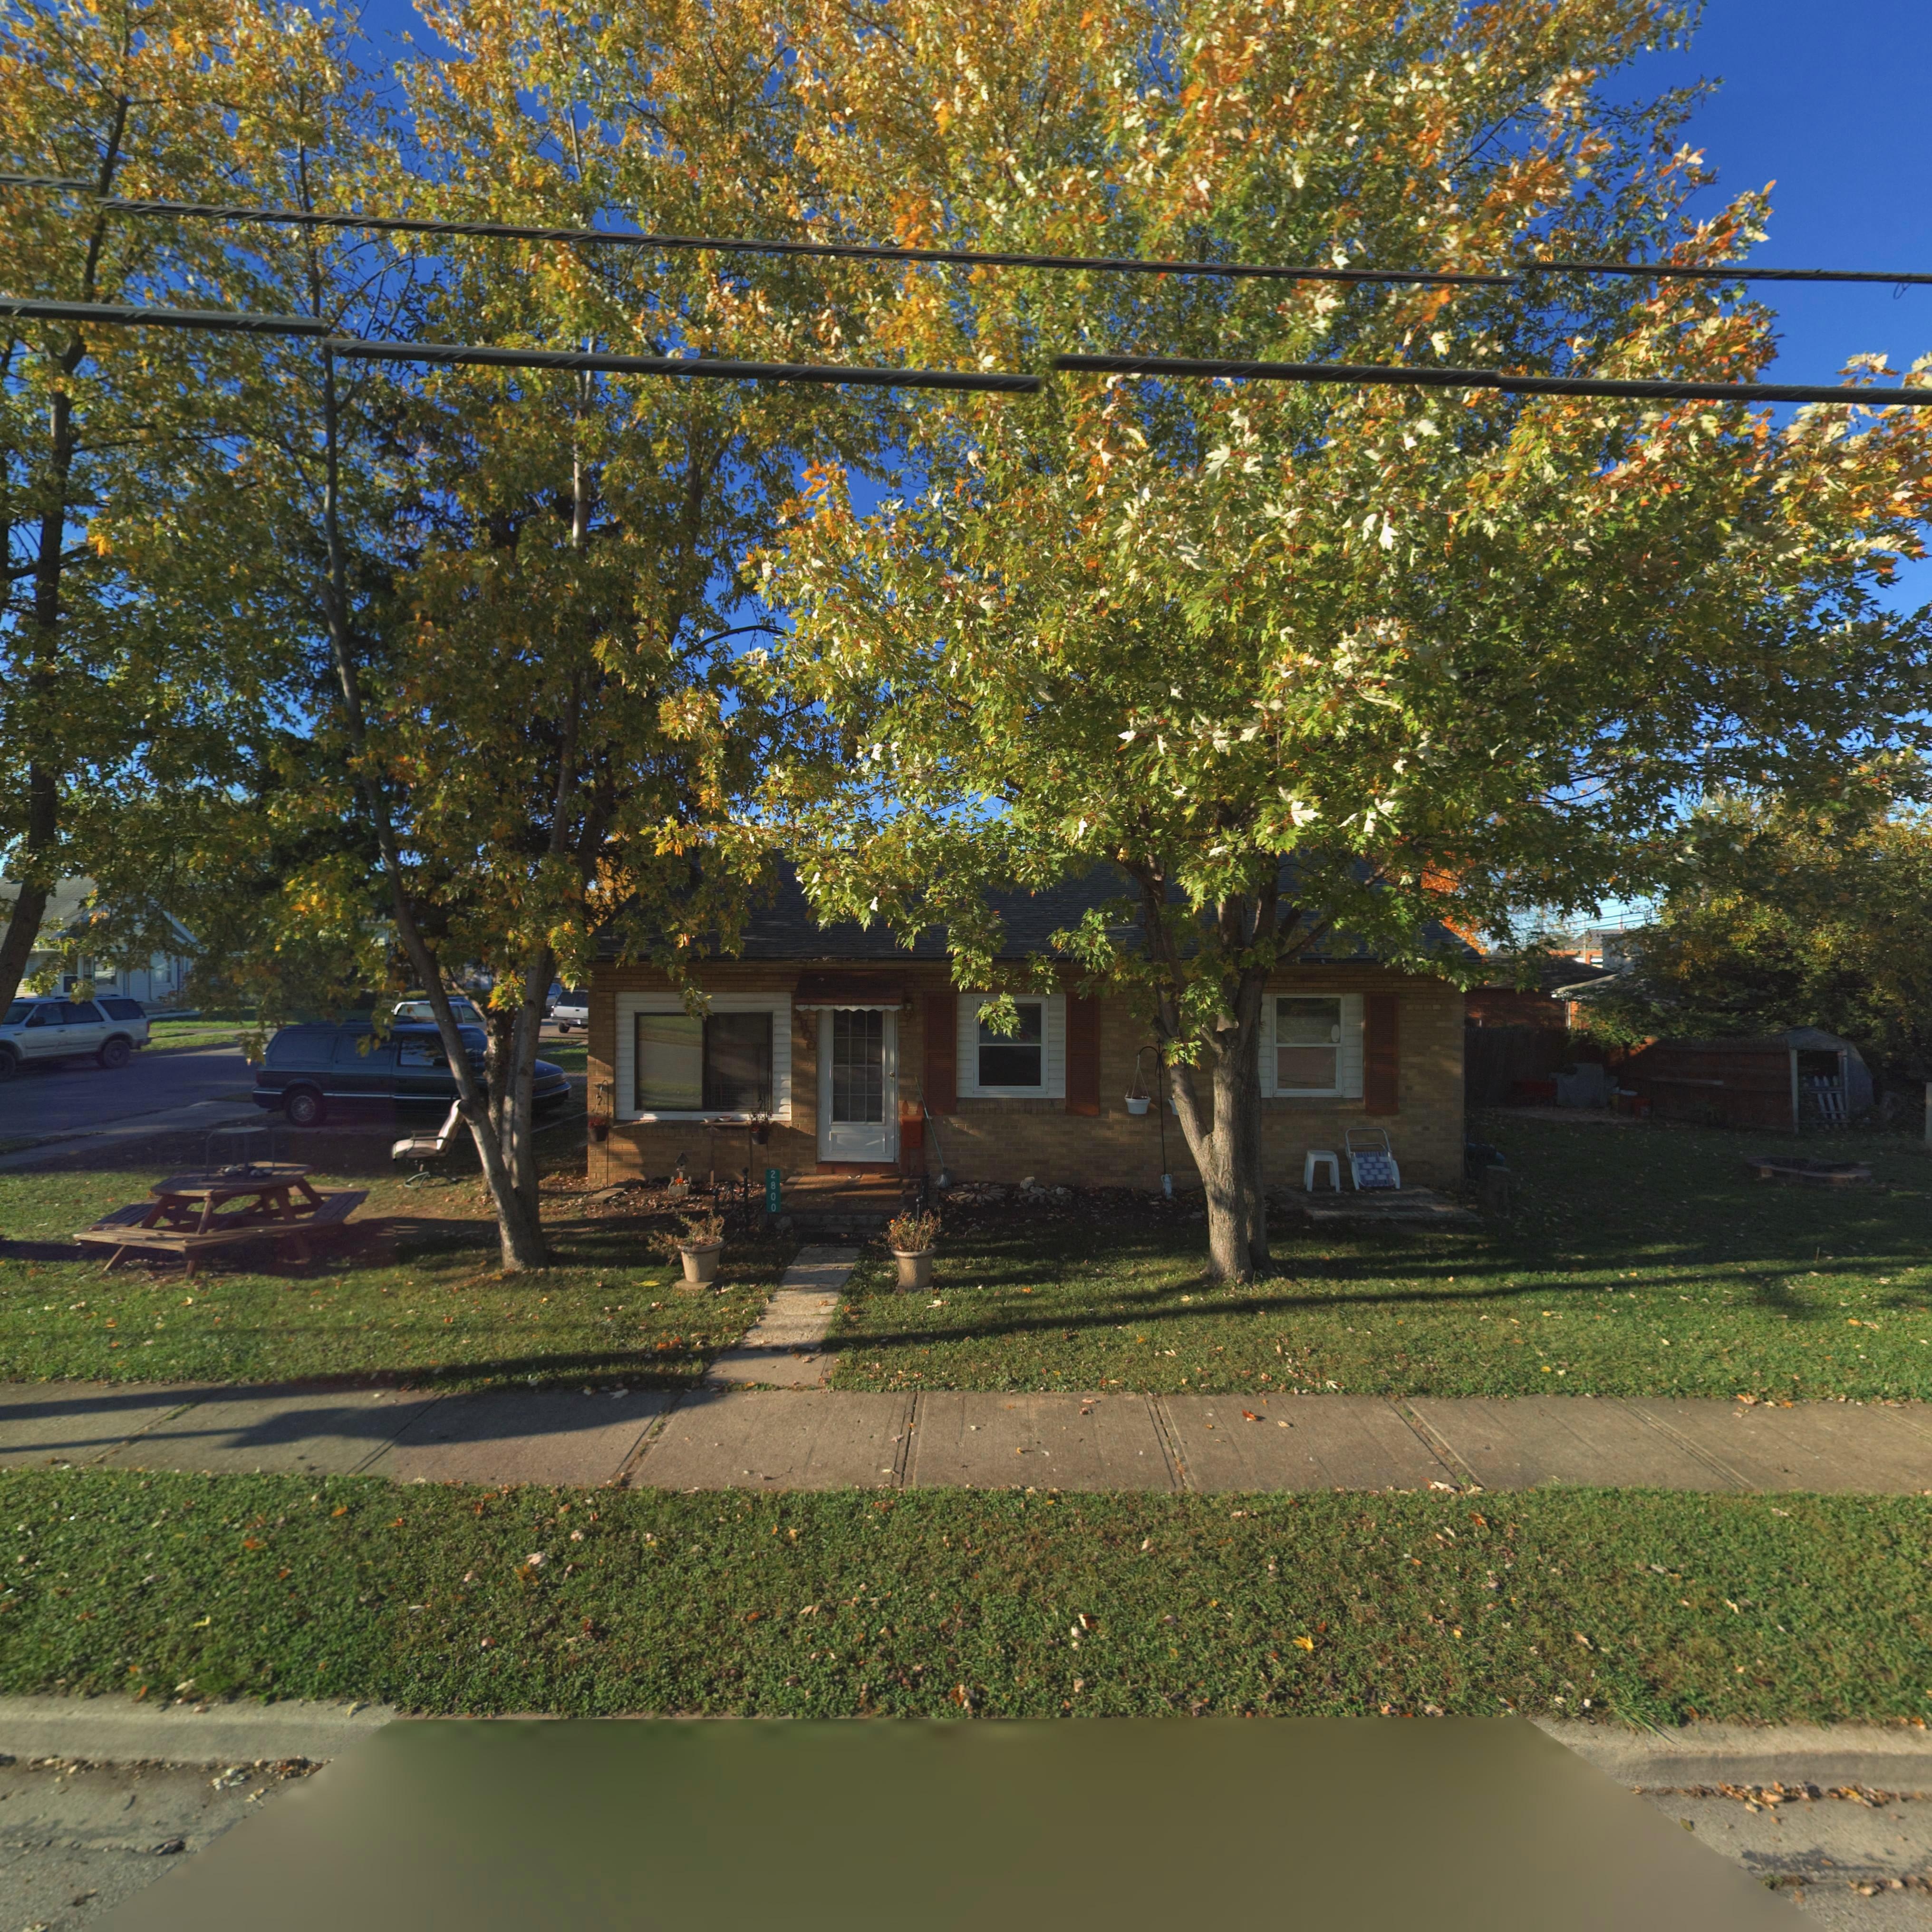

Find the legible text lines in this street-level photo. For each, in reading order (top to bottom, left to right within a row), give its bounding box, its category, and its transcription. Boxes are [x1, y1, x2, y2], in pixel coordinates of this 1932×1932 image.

[792, 1009, 816, 1050] StreetNumber: 2800
[770, 1169, 777, 1213] StreetNumber: 2800